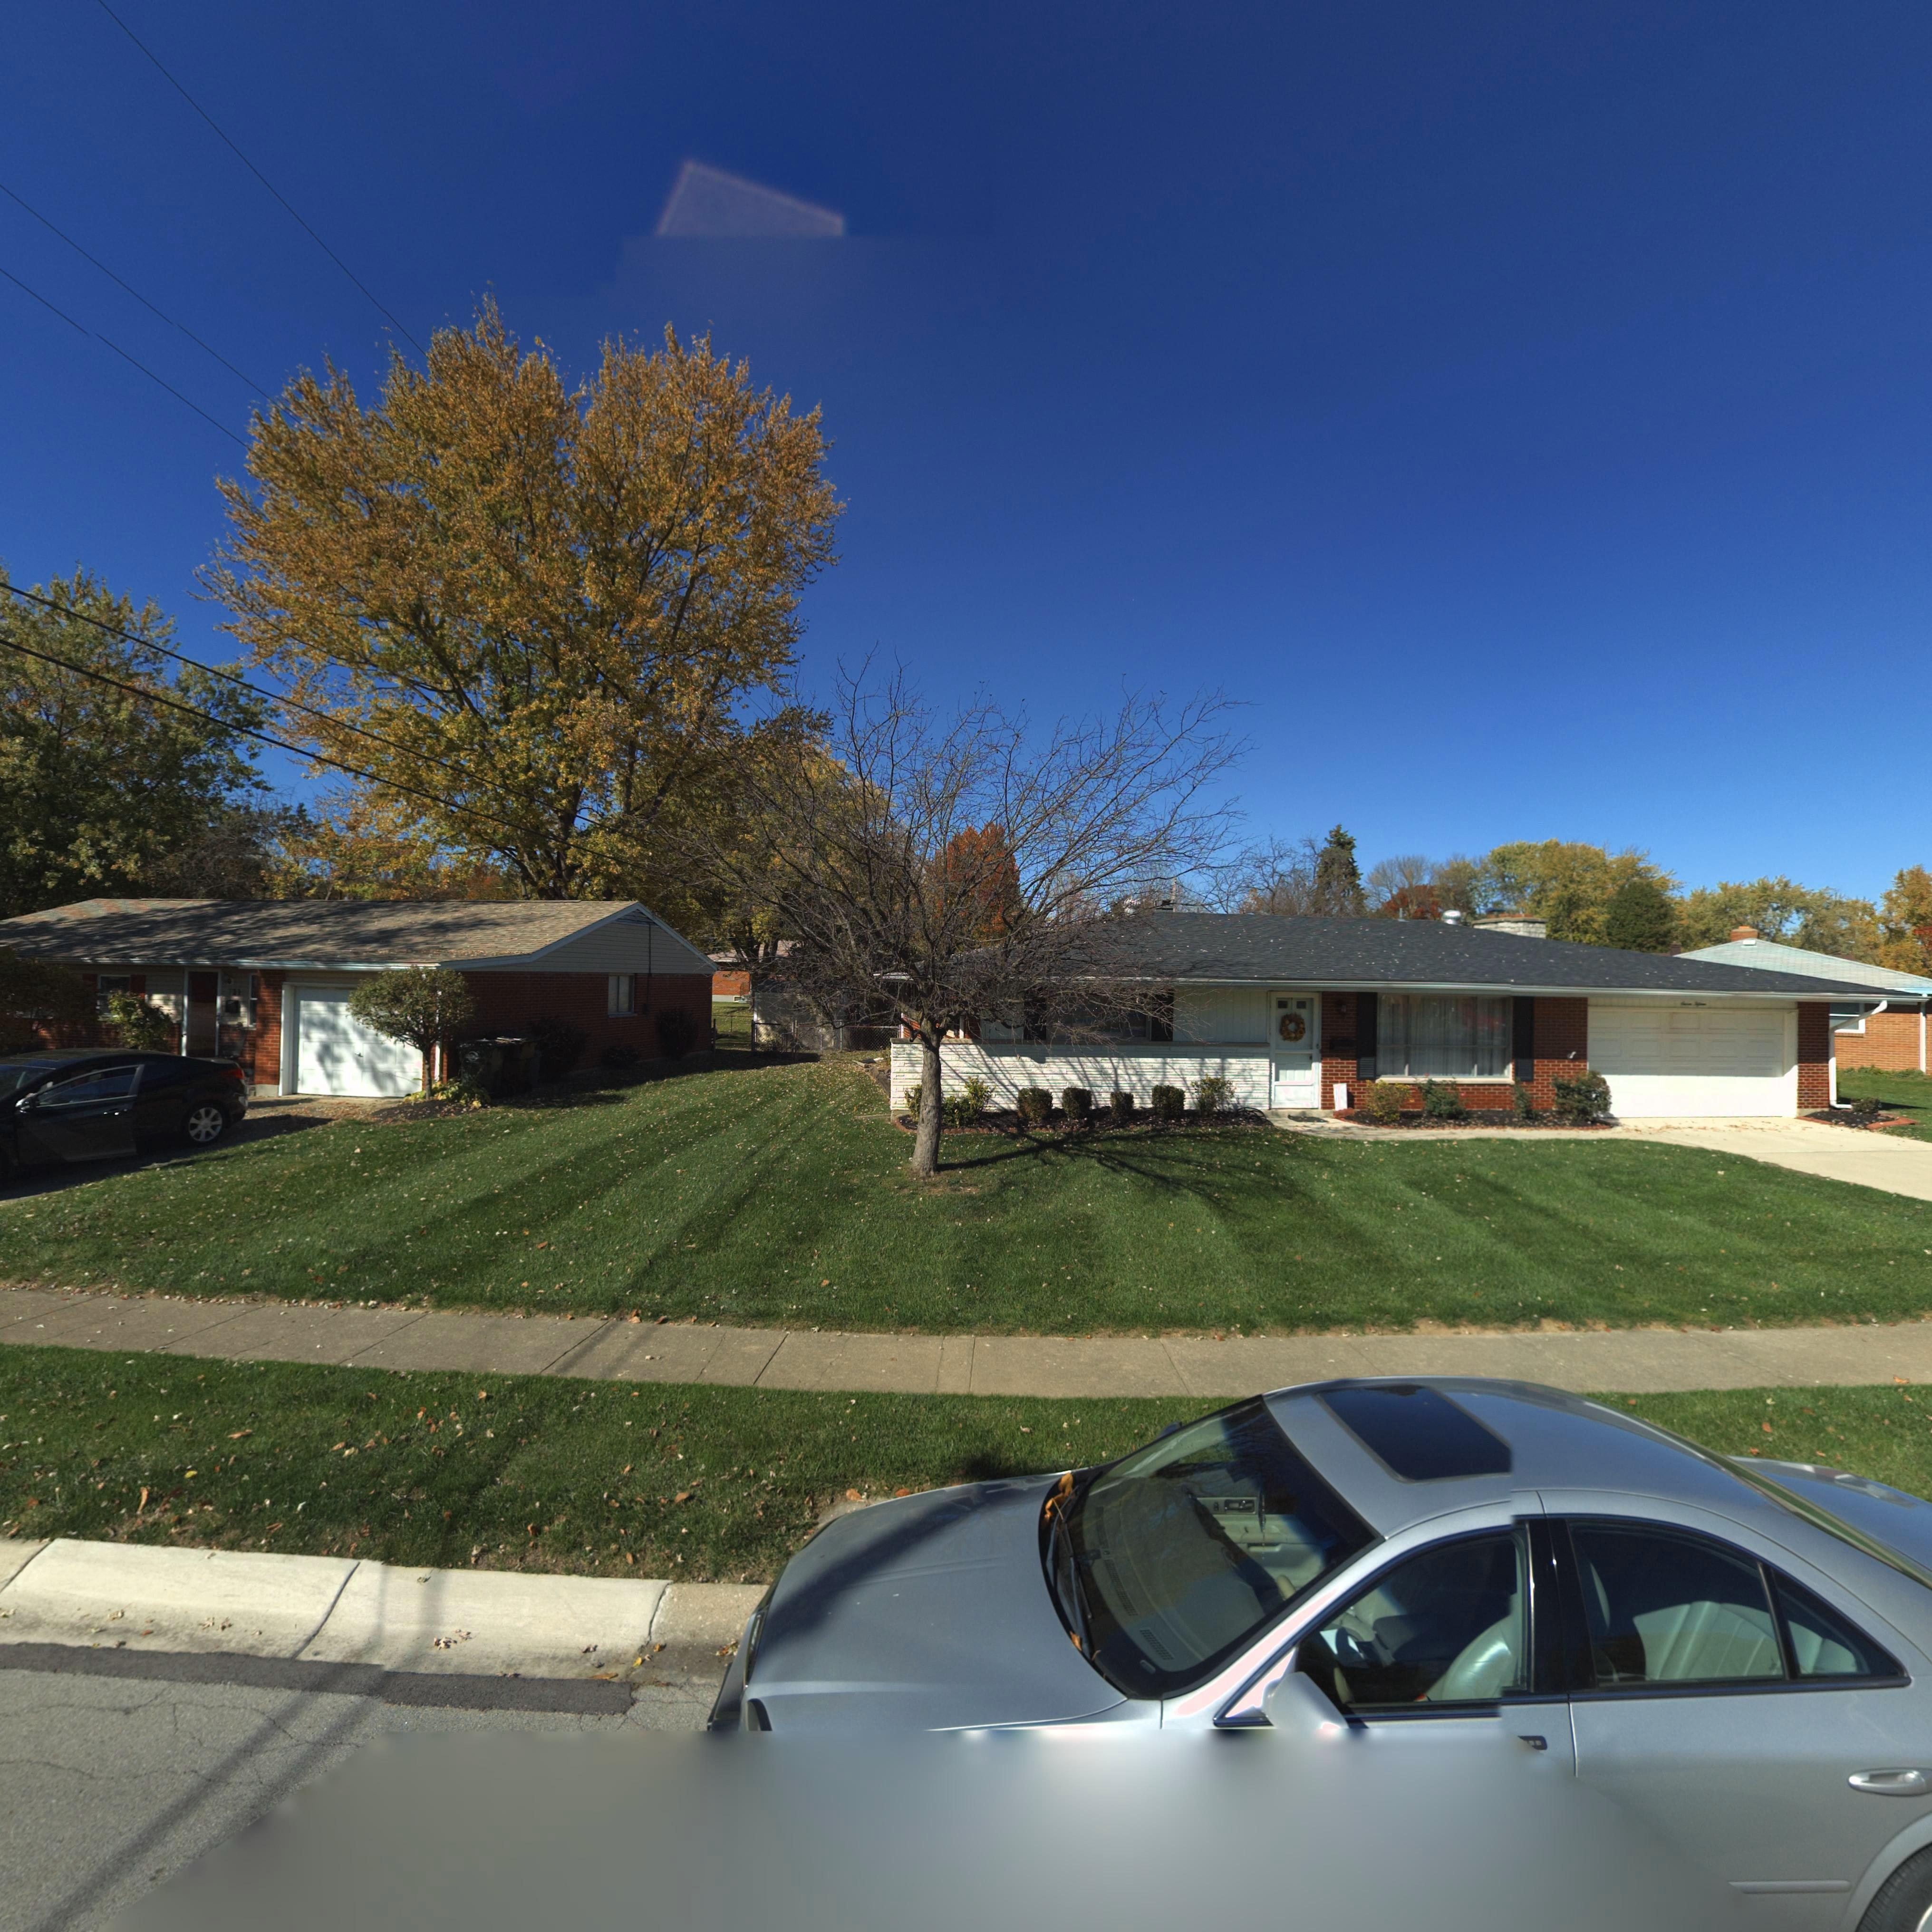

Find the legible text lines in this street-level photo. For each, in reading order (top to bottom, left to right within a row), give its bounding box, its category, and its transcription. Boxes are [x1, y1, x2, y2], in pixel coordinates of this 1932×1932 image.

[227, 988, 241, 997] StreetNumber: **1